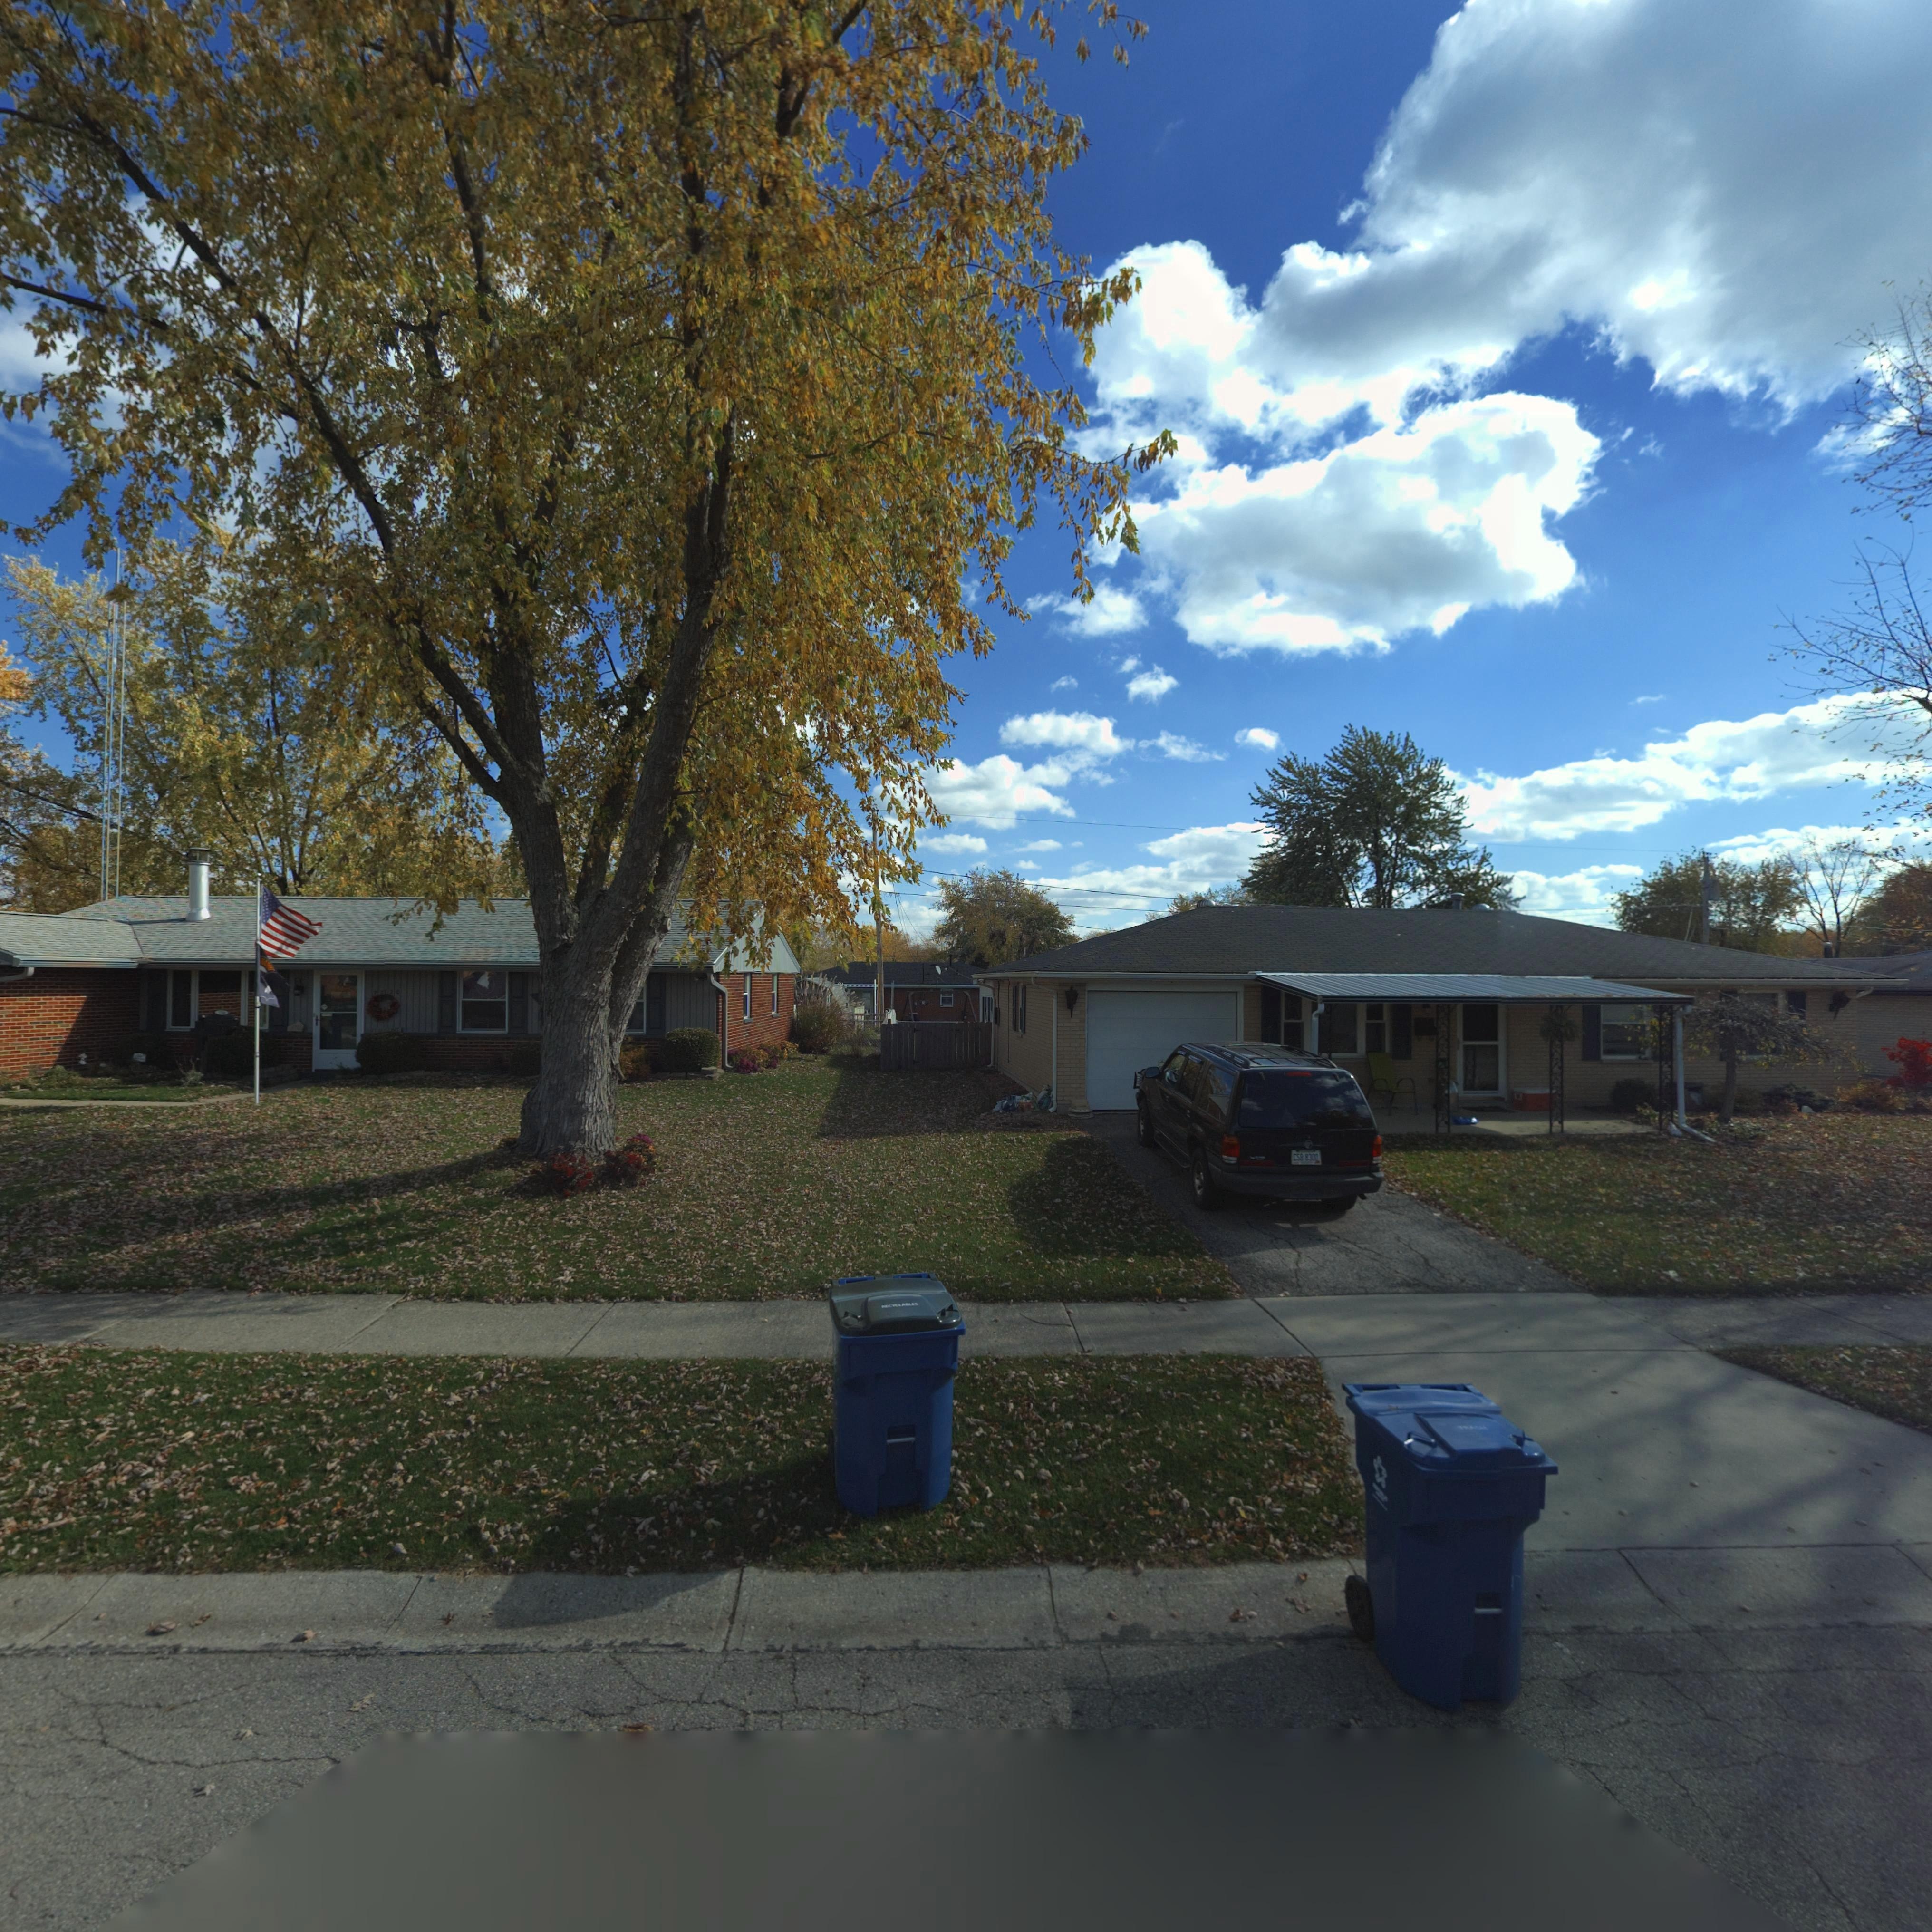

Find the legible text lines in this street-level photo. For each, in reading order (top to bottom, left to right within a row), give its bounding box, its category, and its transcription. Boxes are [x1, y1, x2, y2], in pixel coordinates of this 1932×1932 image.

[372, 989, 401, 996] StreetNumber: 7*20